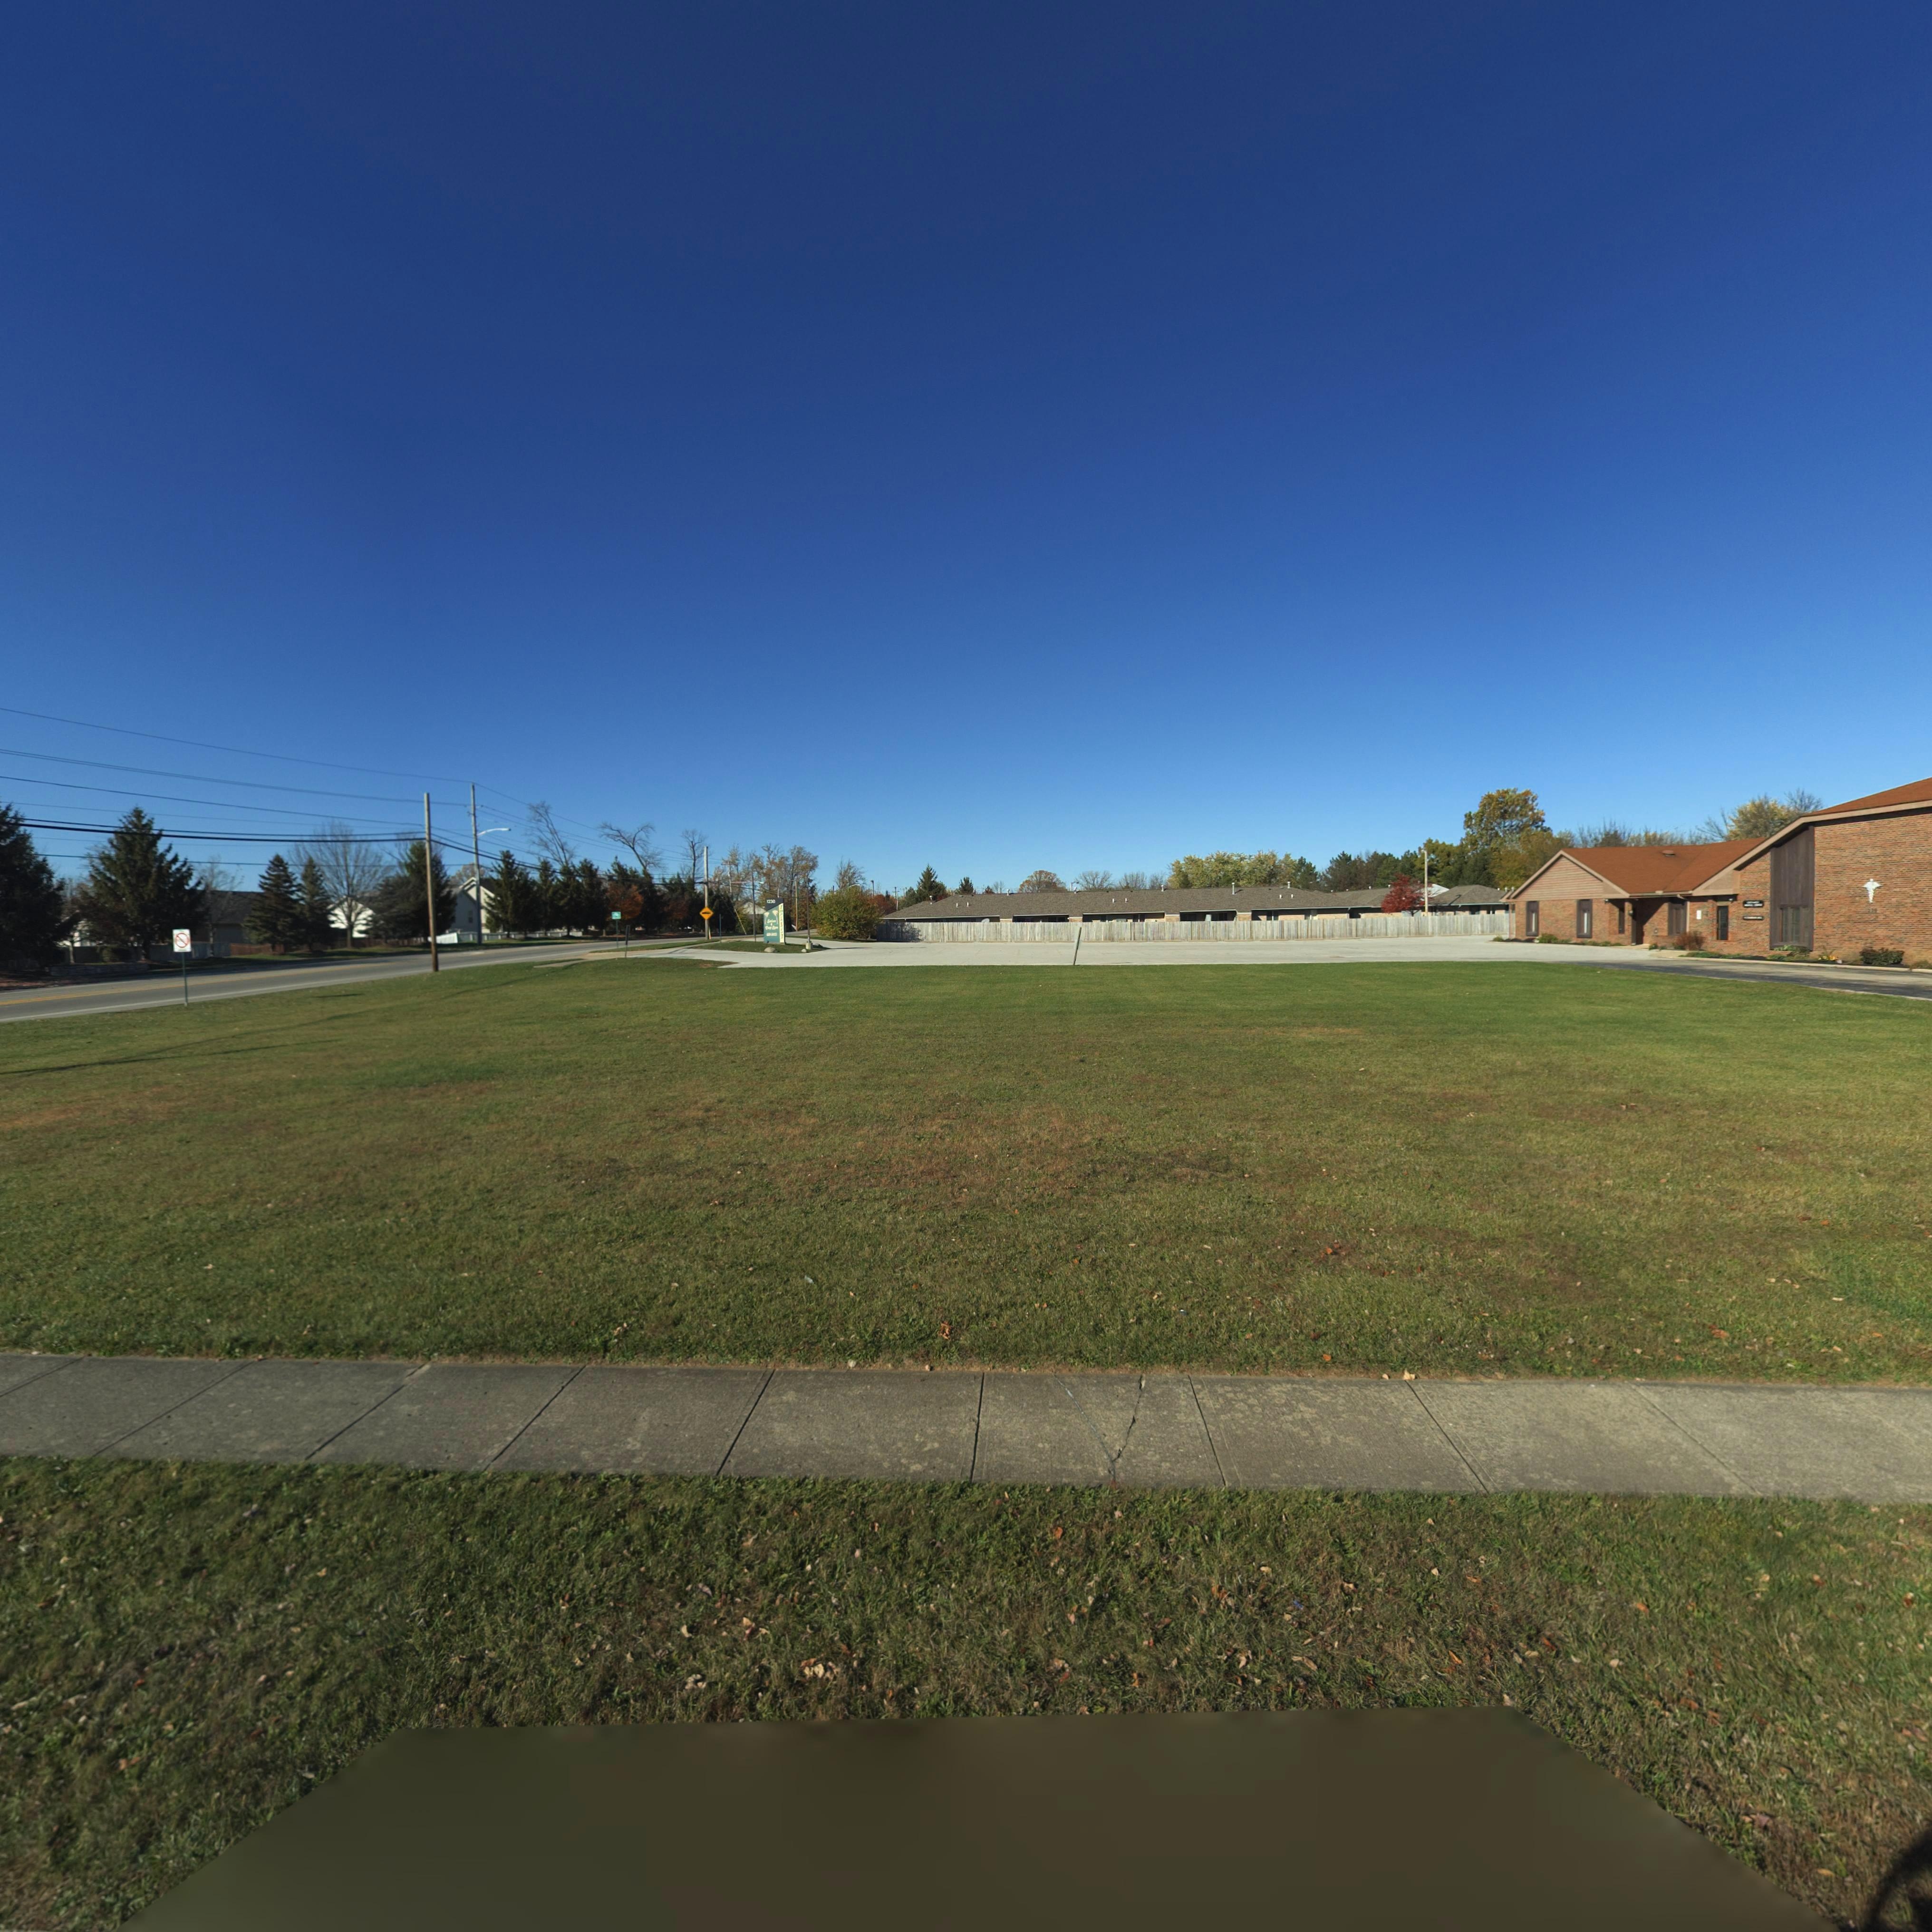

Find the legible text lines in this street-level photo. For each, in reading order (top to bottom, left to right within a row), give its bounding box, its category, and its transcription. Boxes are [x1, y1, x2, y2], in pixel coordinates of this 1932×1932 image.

[766, 899, 776, 904] StreetNumber: 1230